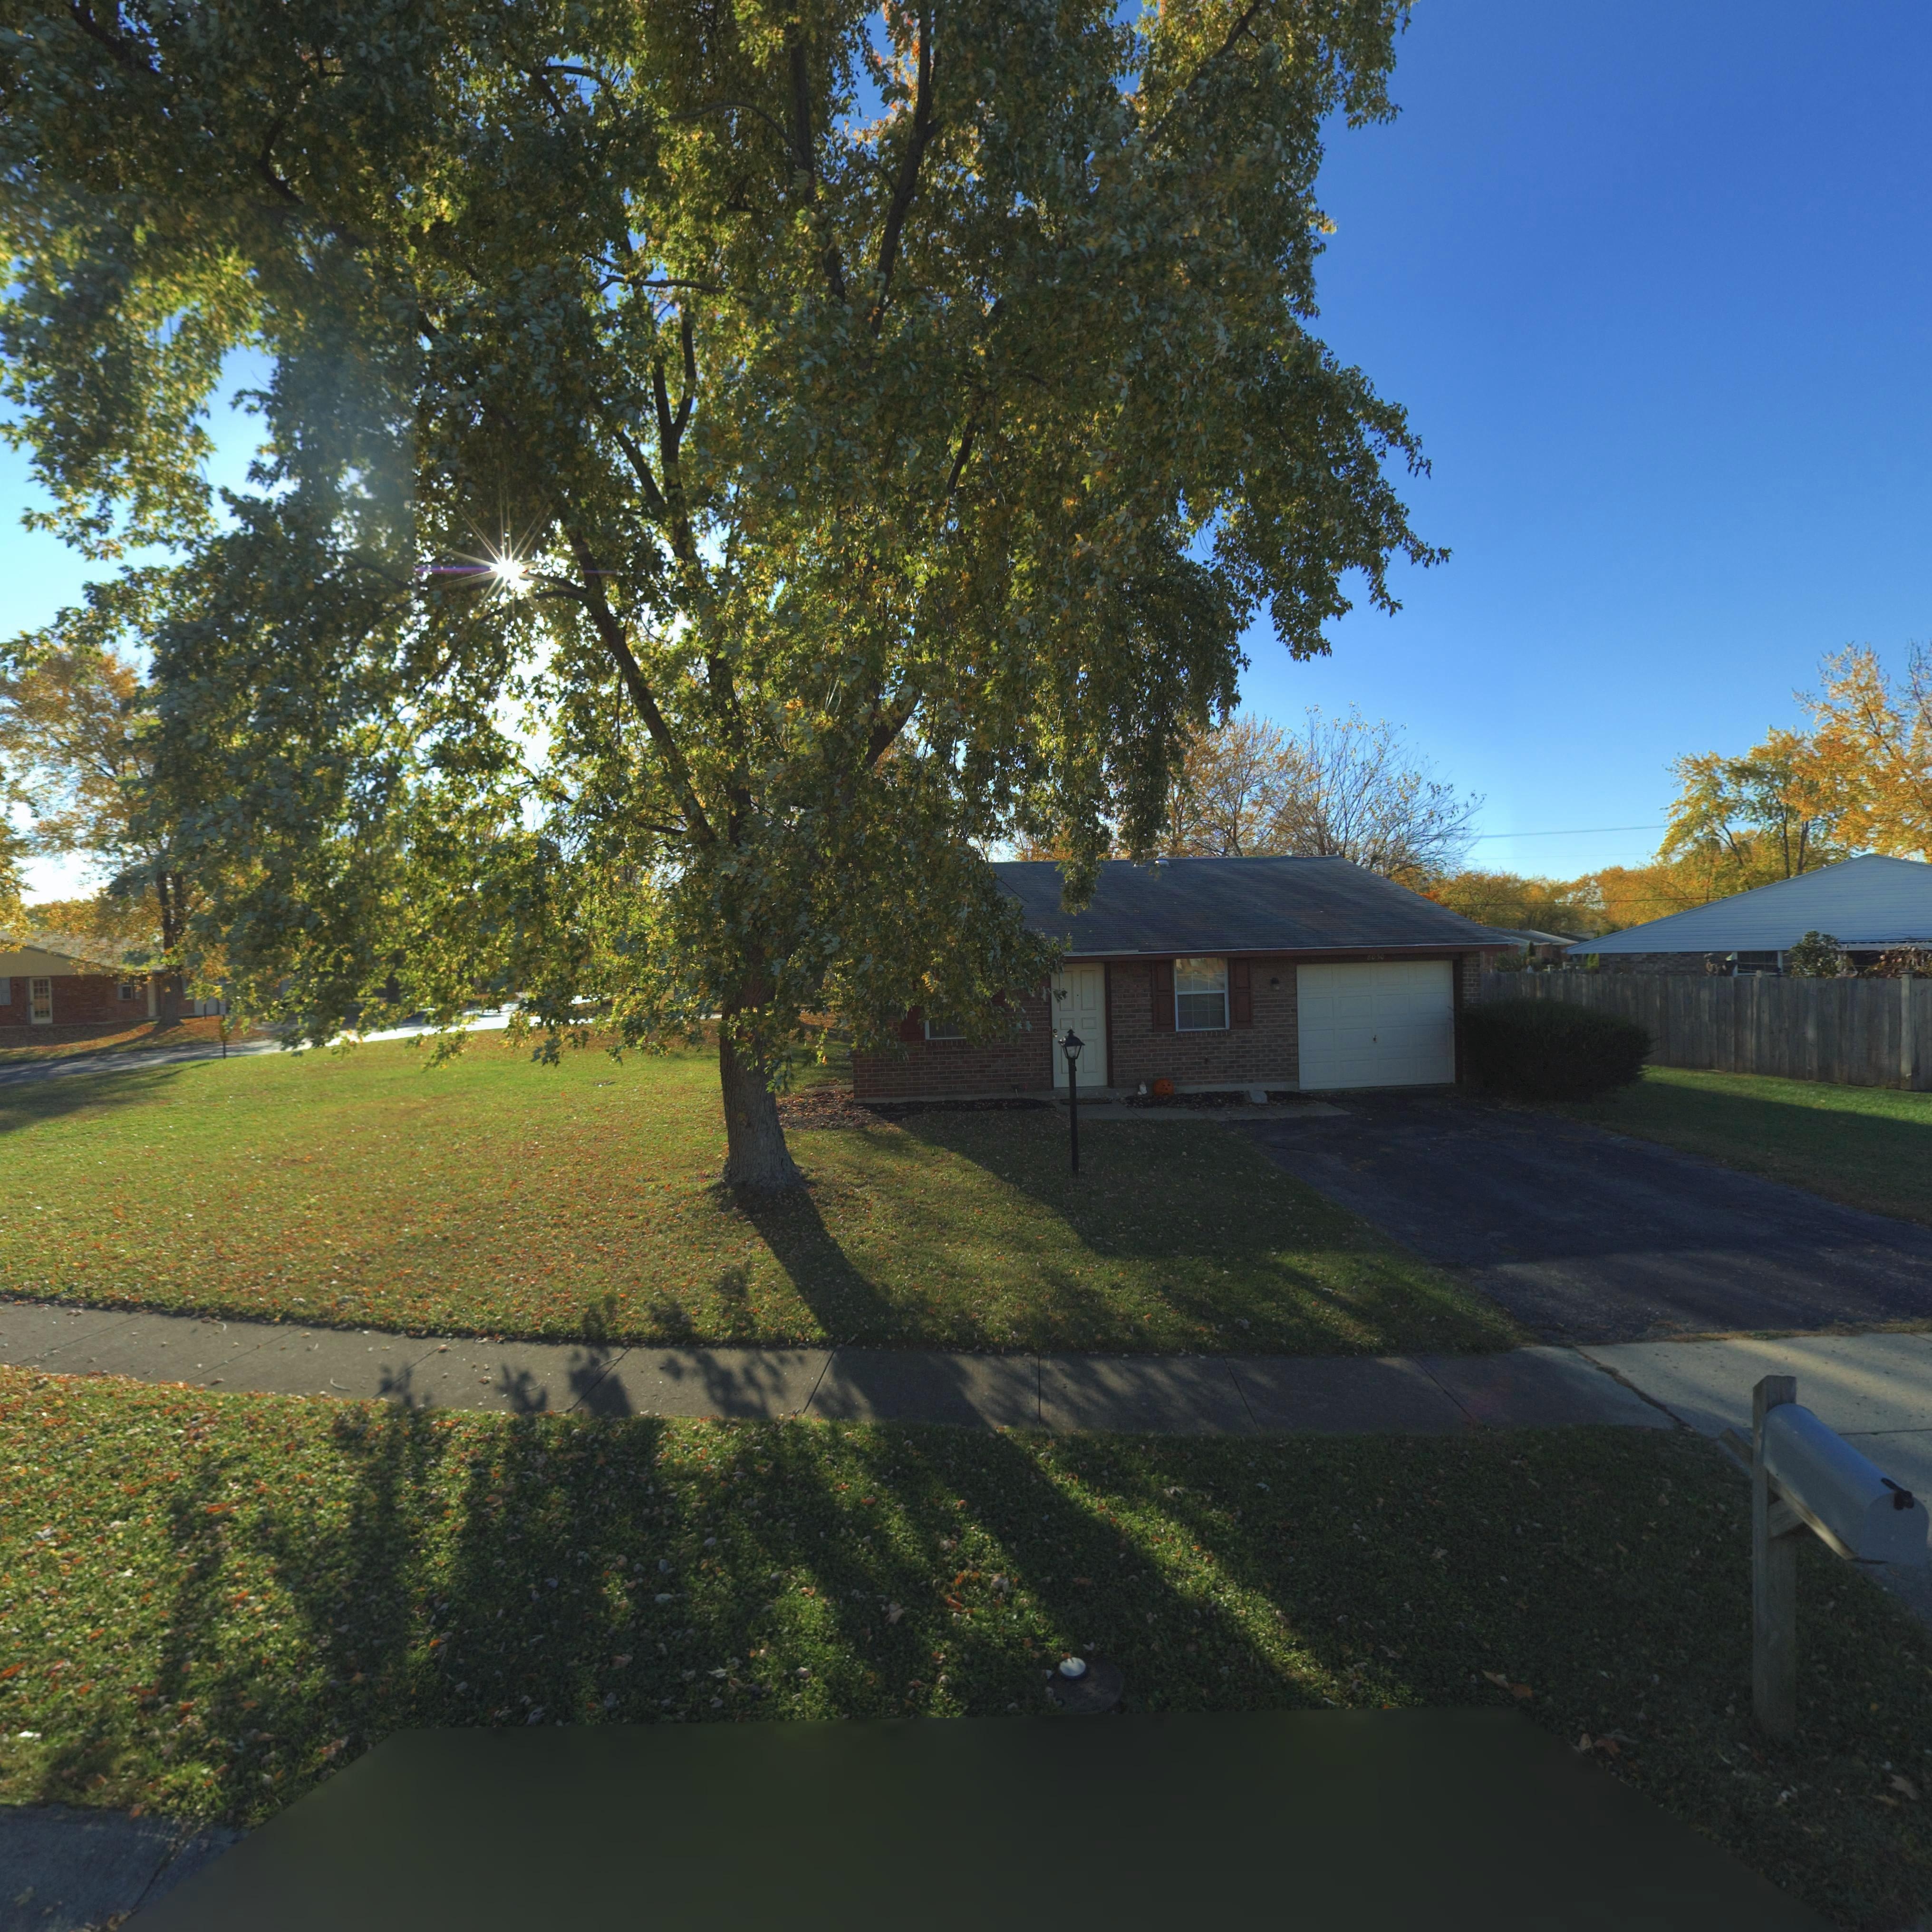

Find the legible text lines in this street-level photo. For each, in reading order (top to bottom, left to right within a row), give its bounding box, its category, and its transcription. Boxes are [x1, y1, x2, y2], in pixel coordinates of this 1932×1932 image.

[1366, 953, 1385, 960] StreetNumber: 8030